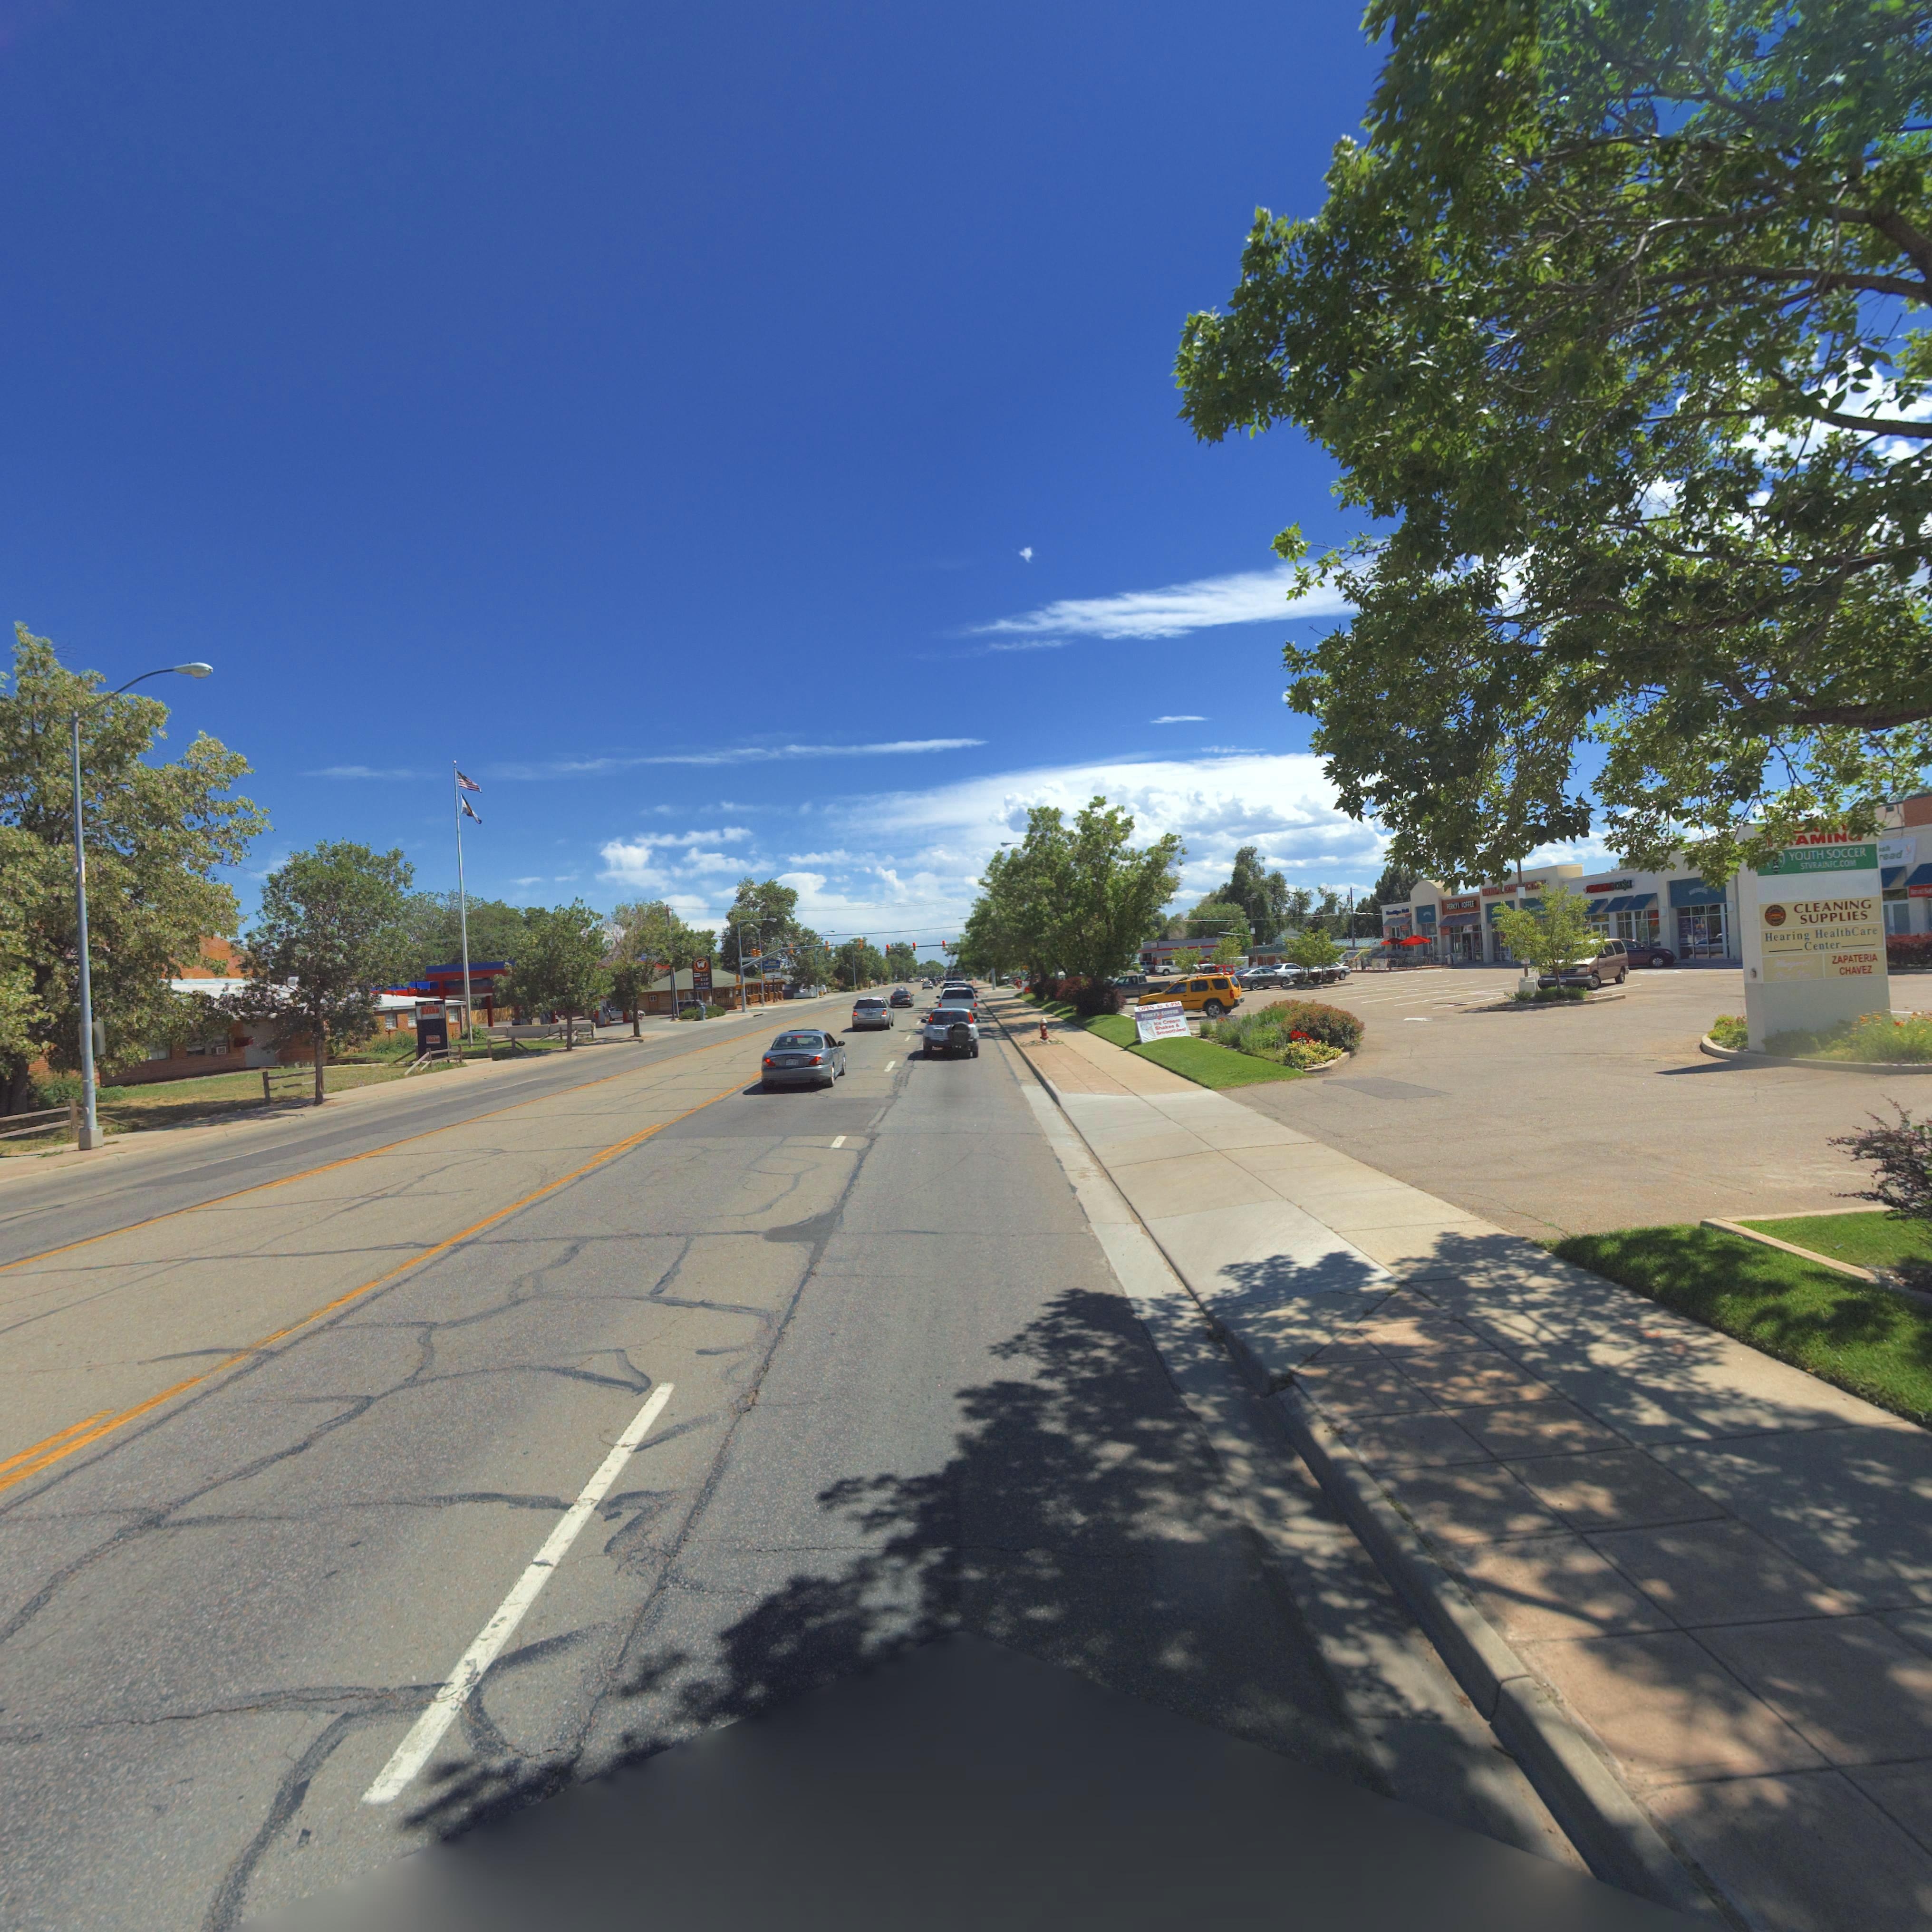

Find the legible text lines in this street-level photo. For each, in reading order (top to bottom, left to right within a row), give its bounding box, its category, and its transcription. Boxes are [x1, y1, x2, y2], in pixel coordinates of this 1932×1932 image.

[1794, 830, 1864, 845] BusinessName: AMING
[1482, 880, 1546, 896] BusinessName: BRIDAL CON**CTI*N
[1585, 878, 1632, 894] BusinessName: ********** ca*h
[1447, 900, 1474, 910] BusinessName: PERKY'S COFFEE
[1765, 927, 1878, 942] BusinessName: Hearing HealthCare
[1804, 941, 1840, 951] BusinessName: Center
[1831, 954, 1878, 964] BusinessName: ZAPATERIA
[1839, 965, 1873, 975] BusinessName: CHAVEZ
[420, 1005, 440, 1014] BusinessName: GUARD
[1140, 1009, 1179, 1018] BusinessName: PERKY'S COFFEE